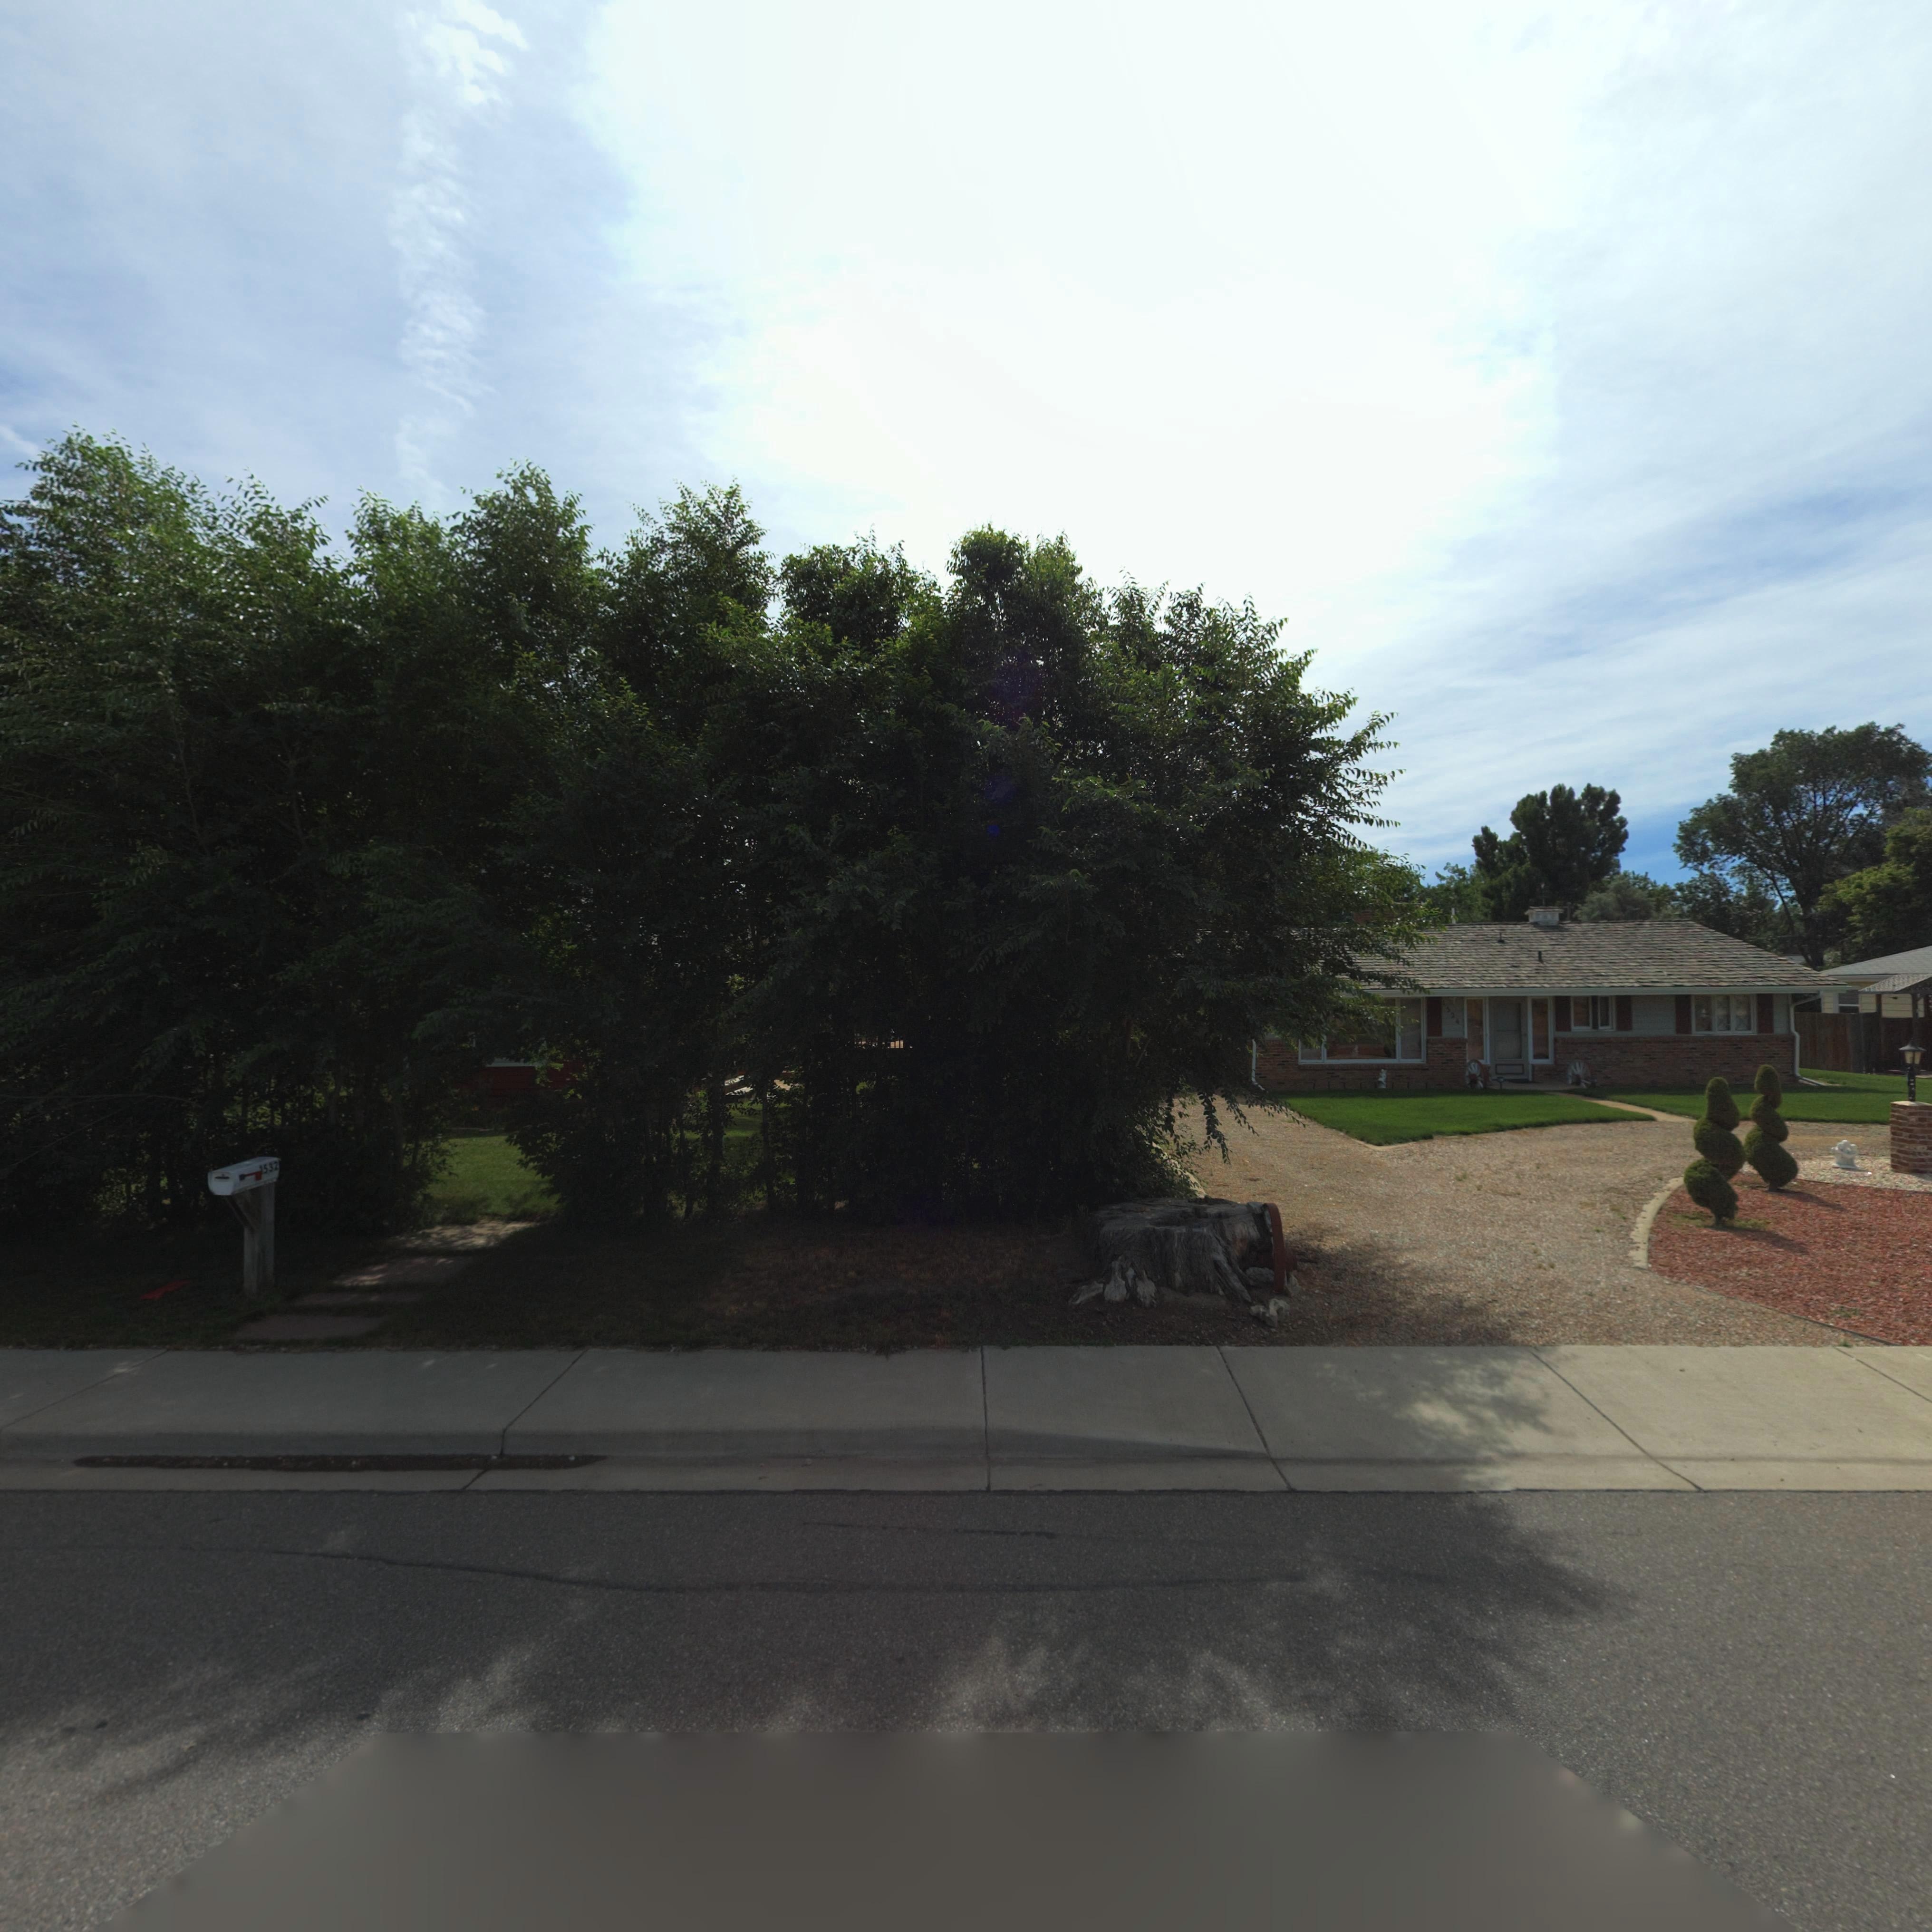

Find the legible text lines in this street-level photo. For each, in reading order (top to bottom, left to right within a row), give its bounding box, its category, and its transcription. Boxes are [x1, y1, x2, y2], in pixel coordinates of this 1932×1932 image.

[1442, 999, 1459, 1024] StreetNumber: 1524
[259, 1161, 278, 1175] StreetNumber: 1523